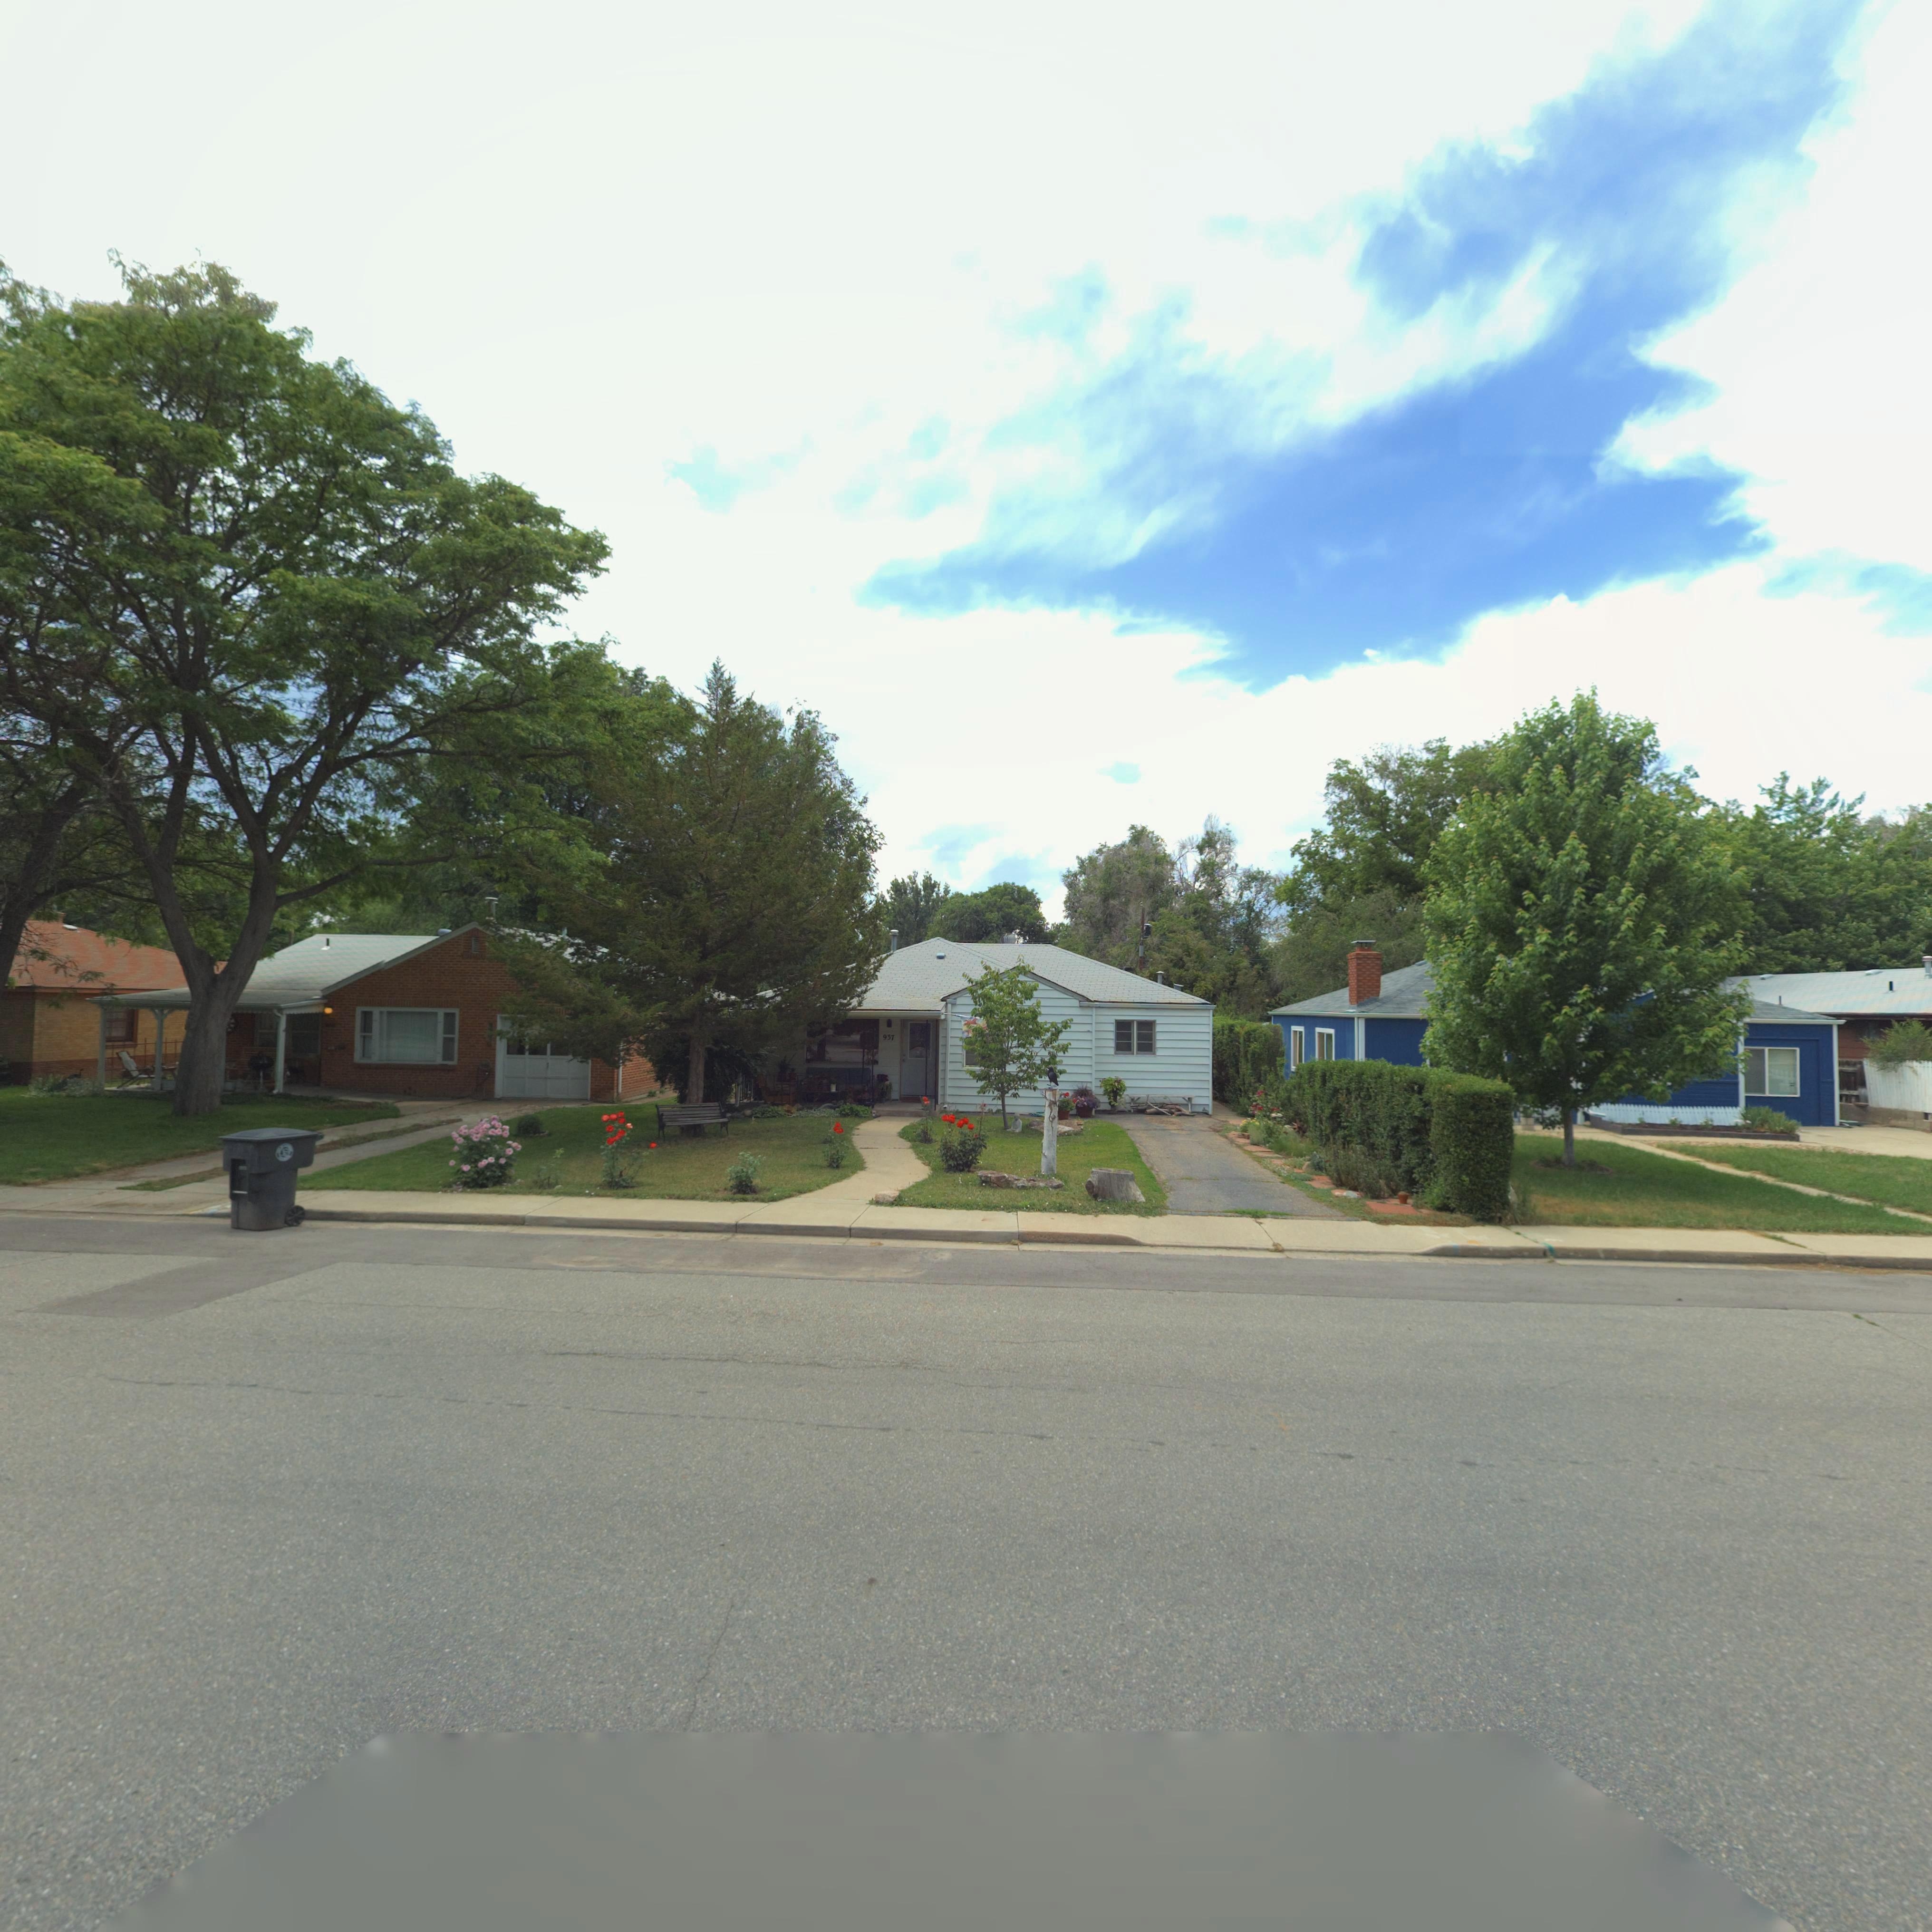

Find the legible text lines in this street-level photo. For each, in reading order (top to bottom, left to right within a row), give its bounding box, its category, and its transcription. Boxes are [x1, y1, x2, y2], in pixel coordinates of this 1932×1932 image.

[882, 1034, 895, 1041] StreetNumber: 937